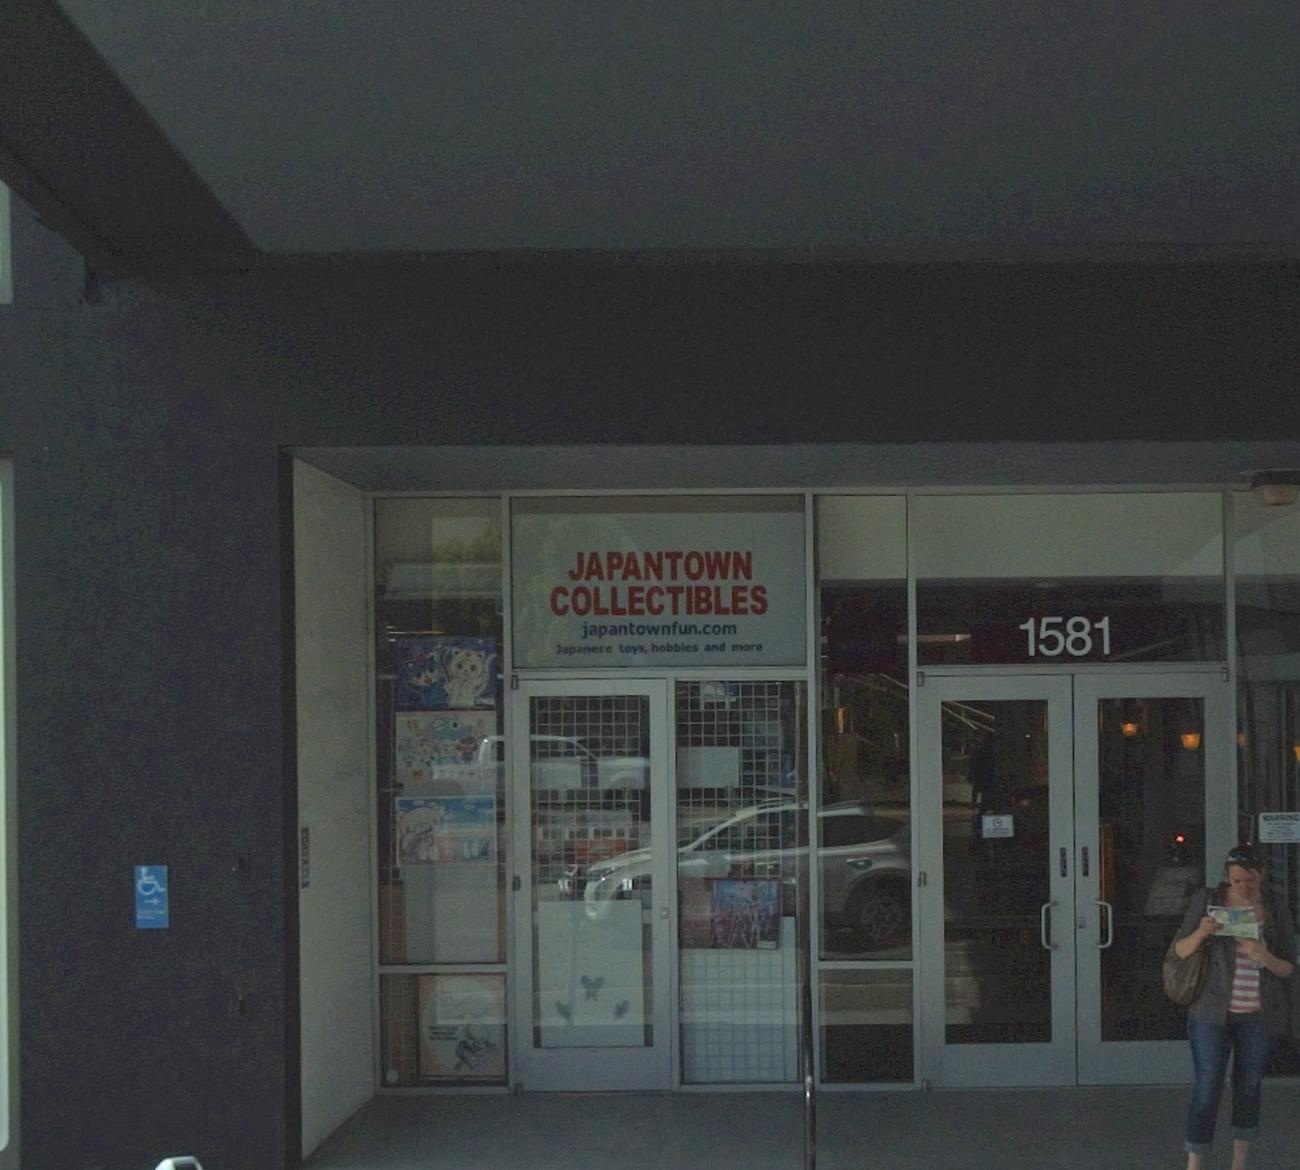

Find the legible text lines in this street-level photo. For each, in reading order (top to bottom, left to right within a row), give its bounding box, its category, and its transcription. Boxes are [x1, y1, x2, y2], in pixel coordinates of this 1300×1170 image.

[566, 550, 755, 582] BusinessName: JAPANTOWN
[548, 583, 770, 617] BusinessName: COLLECTIBLES
[580, 619, 737, 641] None: japantownfun.com
[554, 641, 765, 657] None: Japanese toys, hobbies and more
[1017, 614, 1111, 658] StreetNumber: 1581